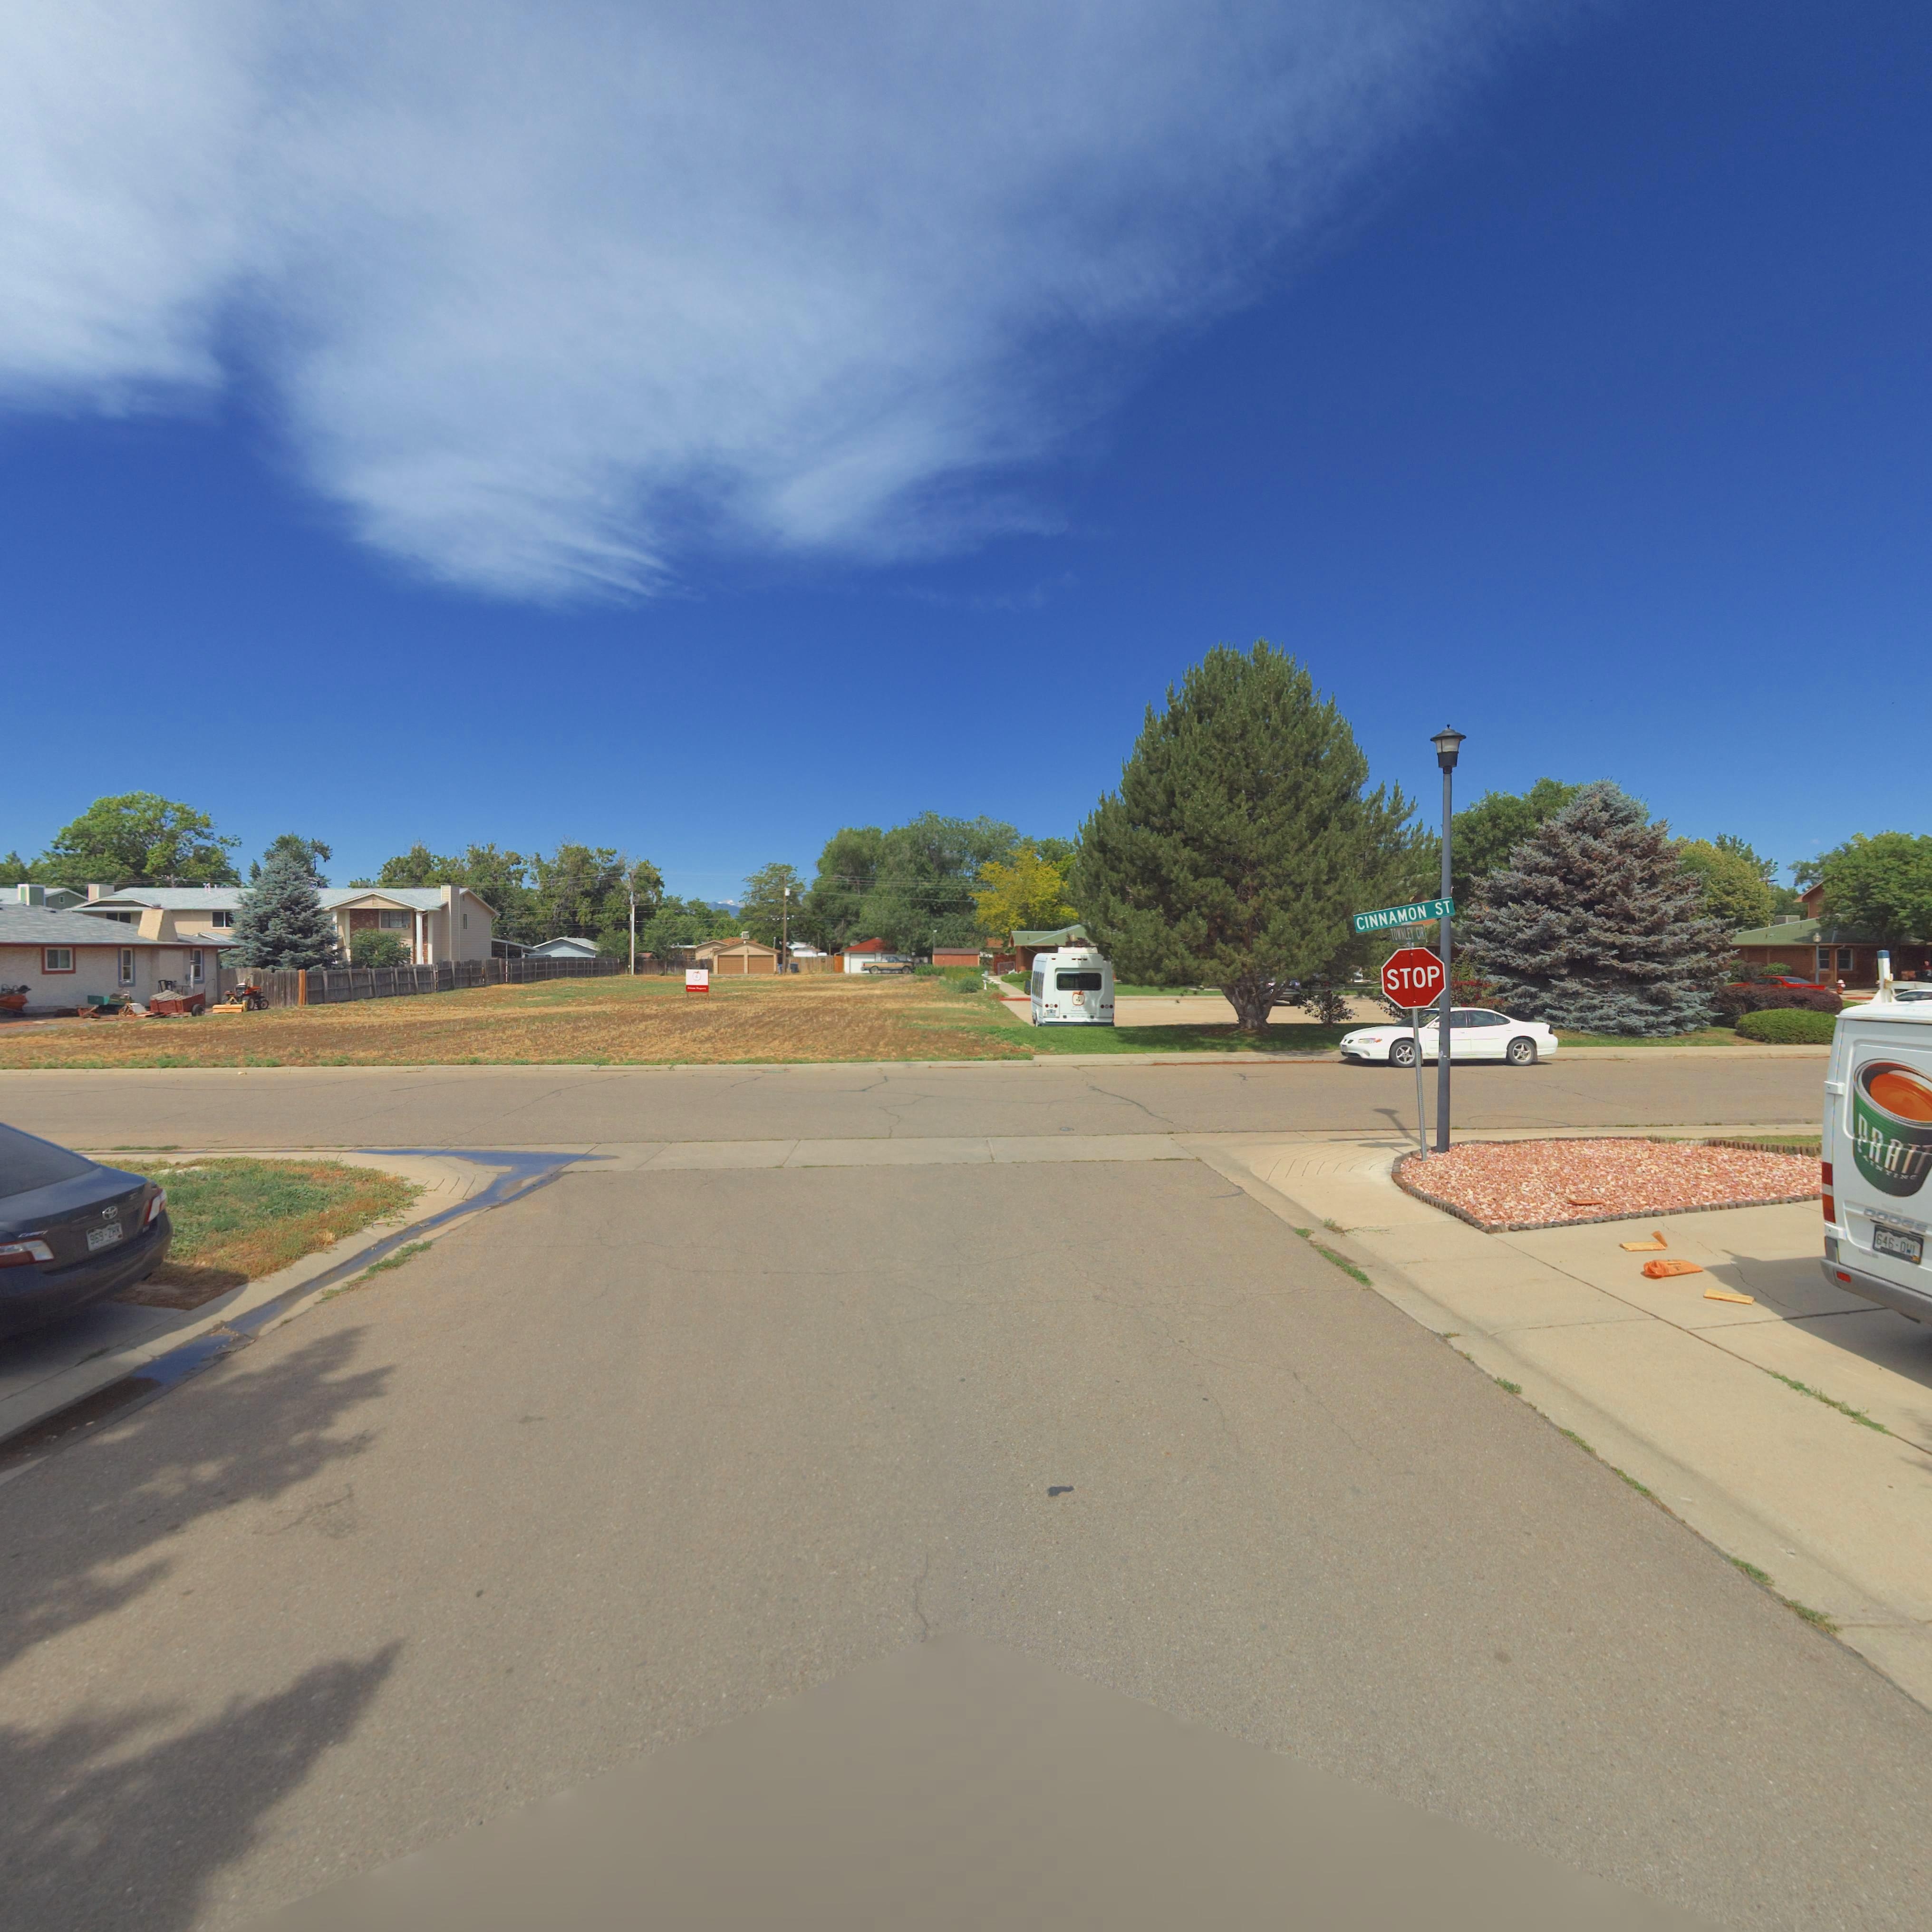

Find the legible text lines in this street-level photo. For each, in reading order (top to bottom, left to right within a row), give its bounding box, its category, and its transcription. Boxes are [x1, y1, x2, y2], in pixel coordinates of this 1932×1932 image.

[1356, 899, 1450, 930] StreetName: CINNAMON ST
[1390, 926, 1425, 940] StreetName: TOWNLEY CIR